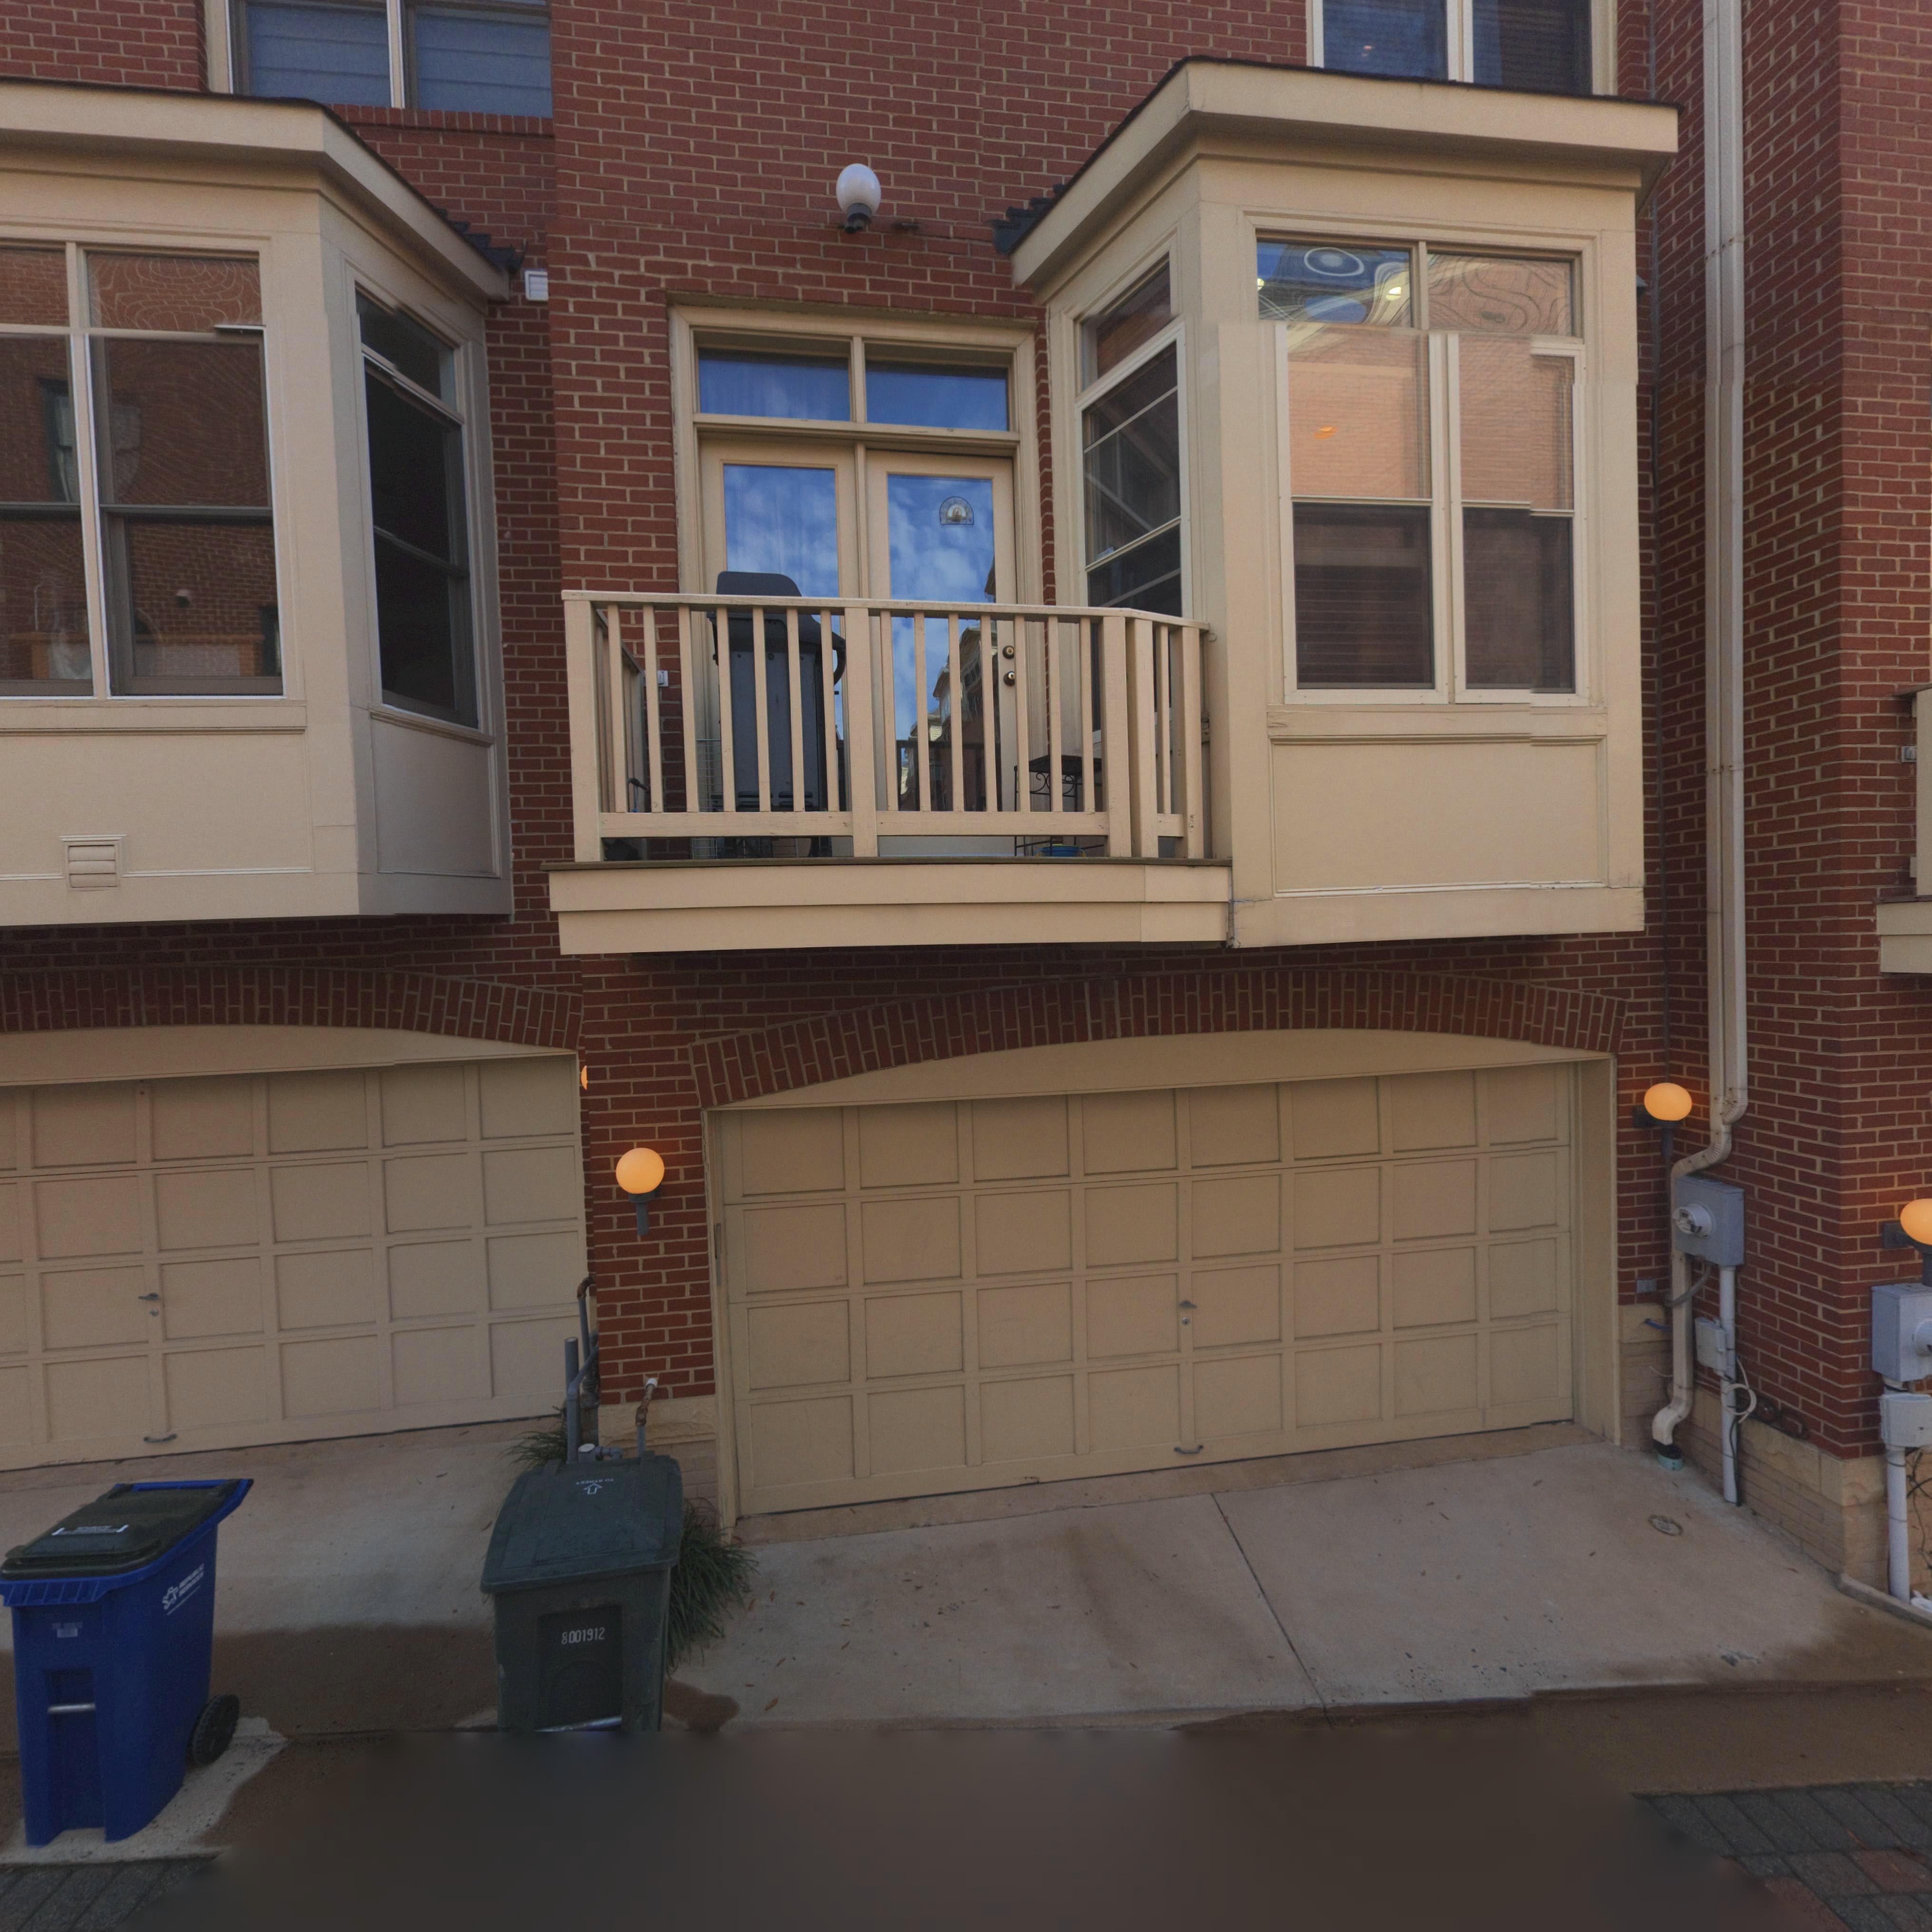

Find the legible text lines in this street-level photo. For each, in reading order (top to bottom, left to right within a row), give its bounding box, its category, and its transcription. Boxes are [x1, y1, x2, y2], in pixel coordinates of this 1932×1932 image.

[560, 1625, 607, 1647] None: 8001912